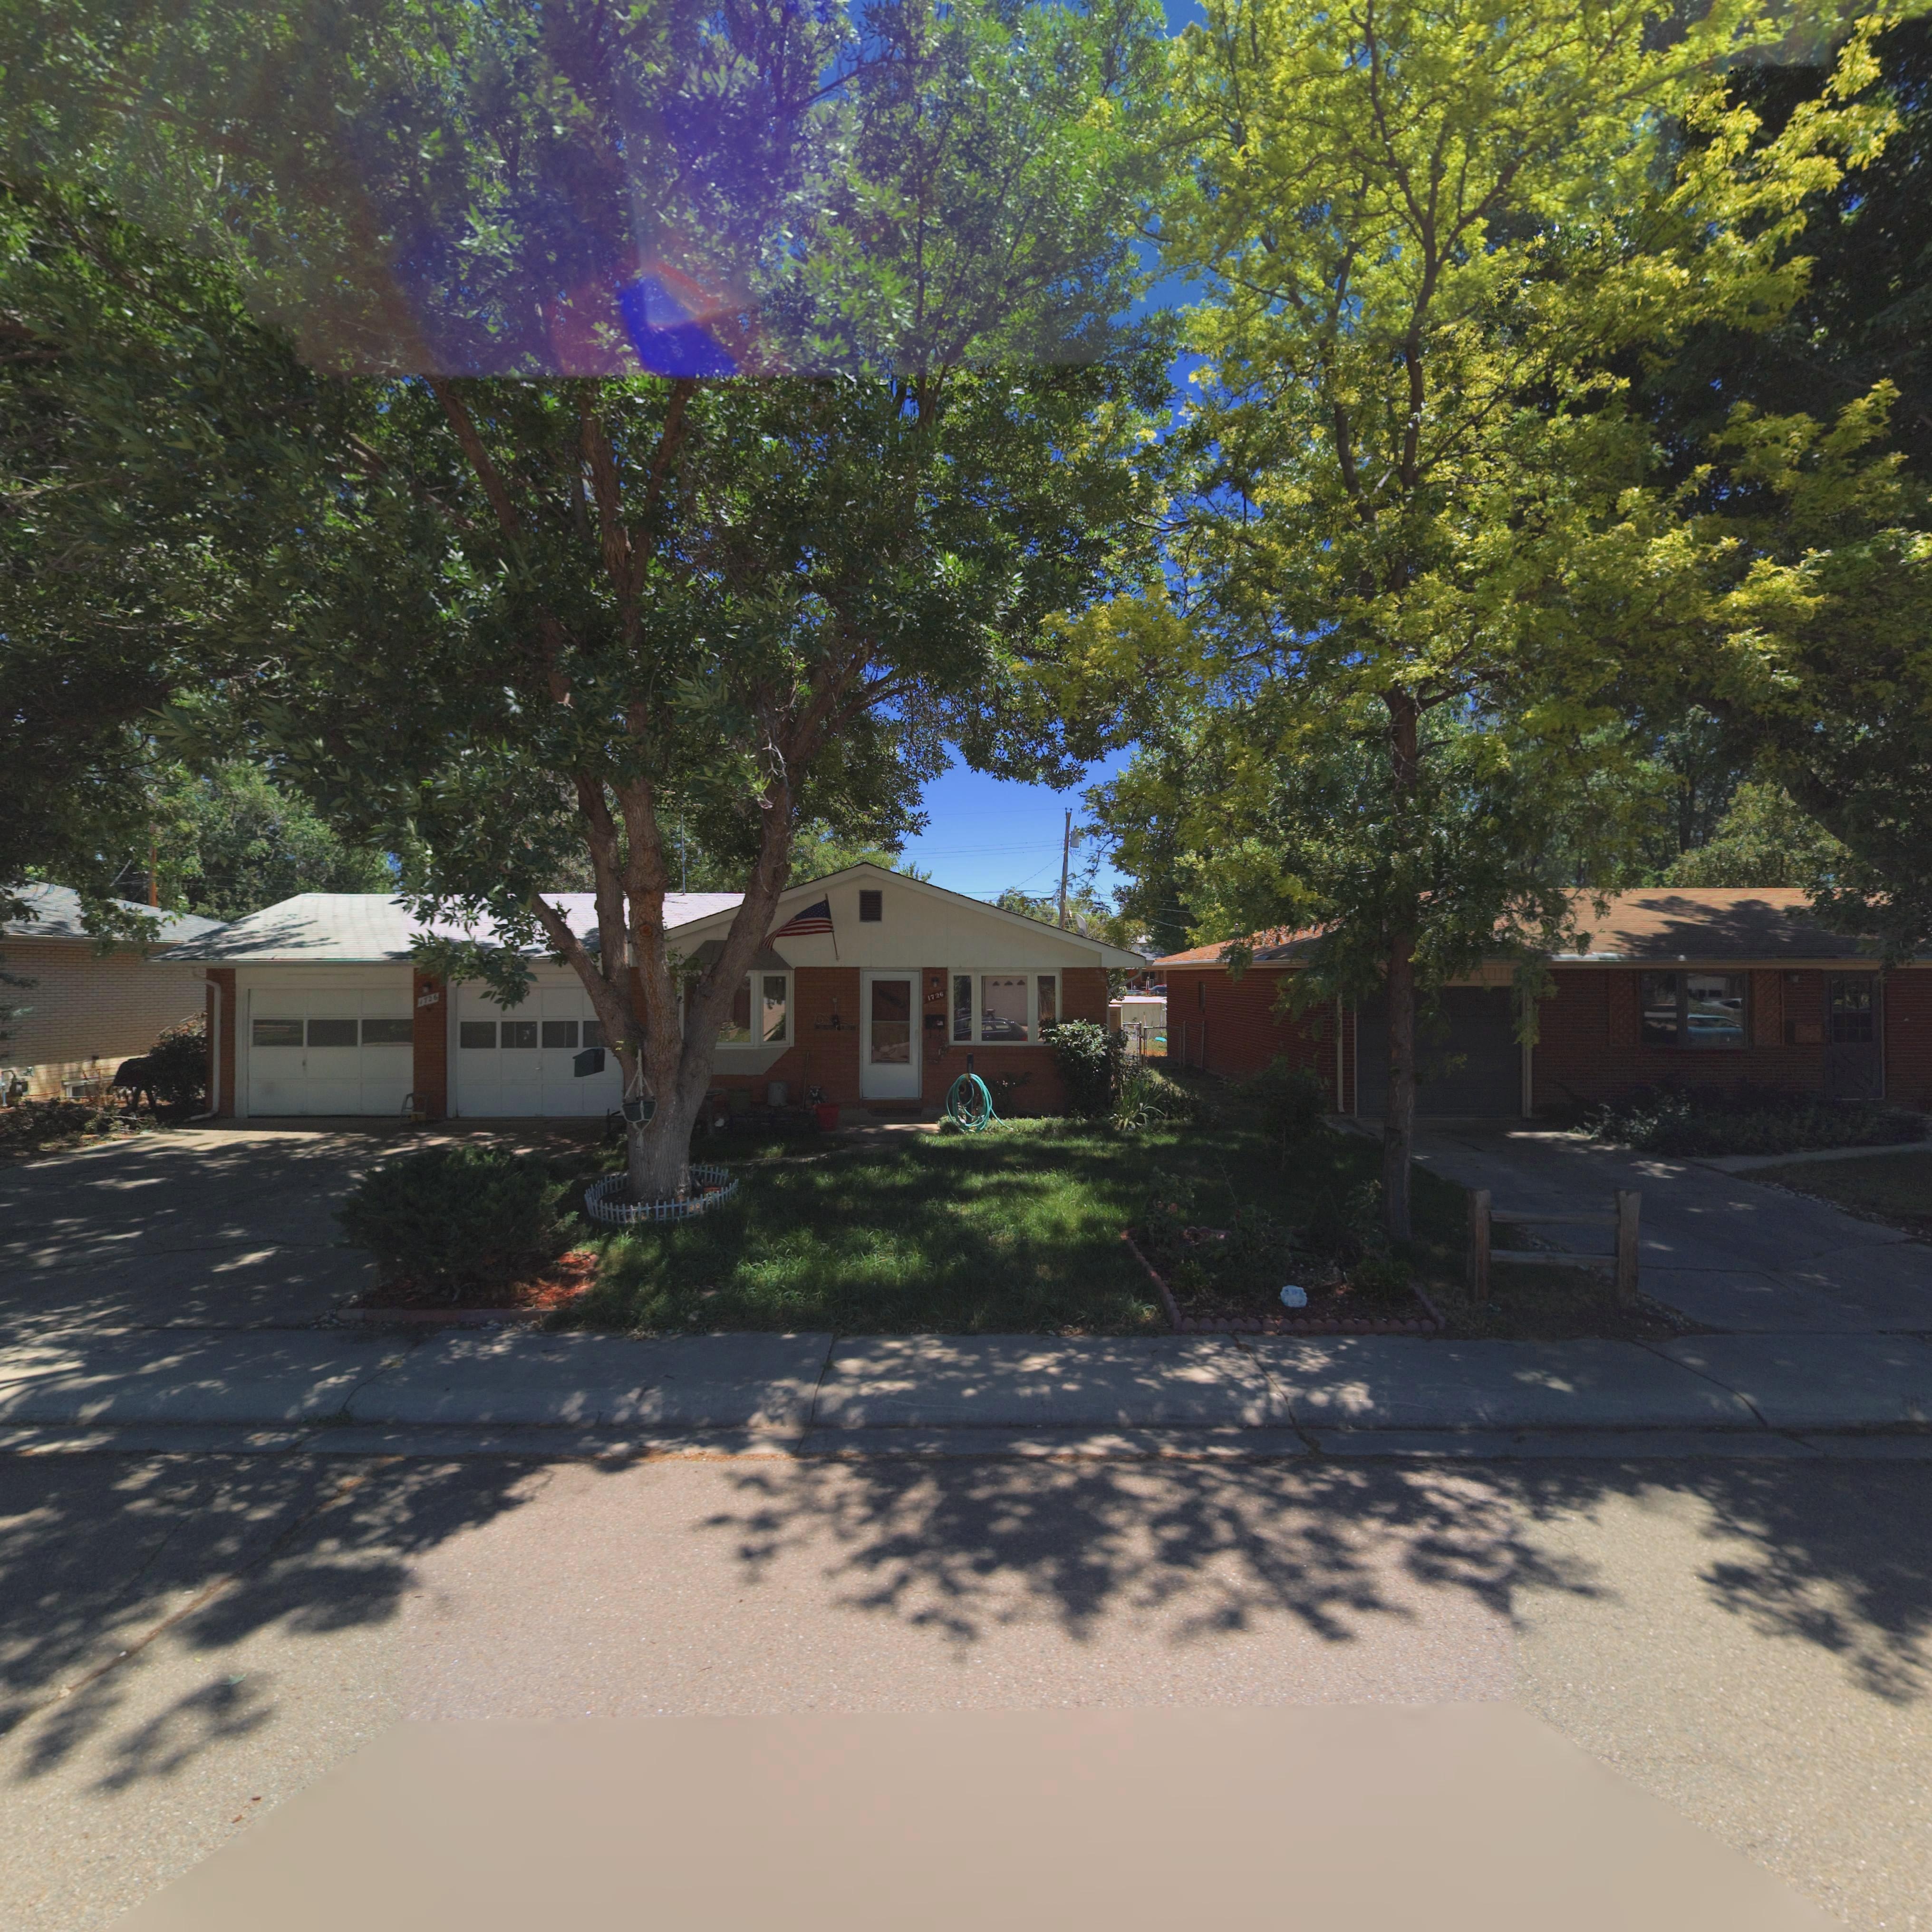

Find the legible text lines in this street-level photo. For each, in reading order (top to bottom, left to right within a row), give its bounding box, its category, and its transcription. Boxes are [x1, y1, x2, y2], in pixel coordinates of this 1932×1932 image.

[420, 993, 437, 1005] StreetNumber: 1726
[927, 991, 944, 1001] StreetNumber: 1726